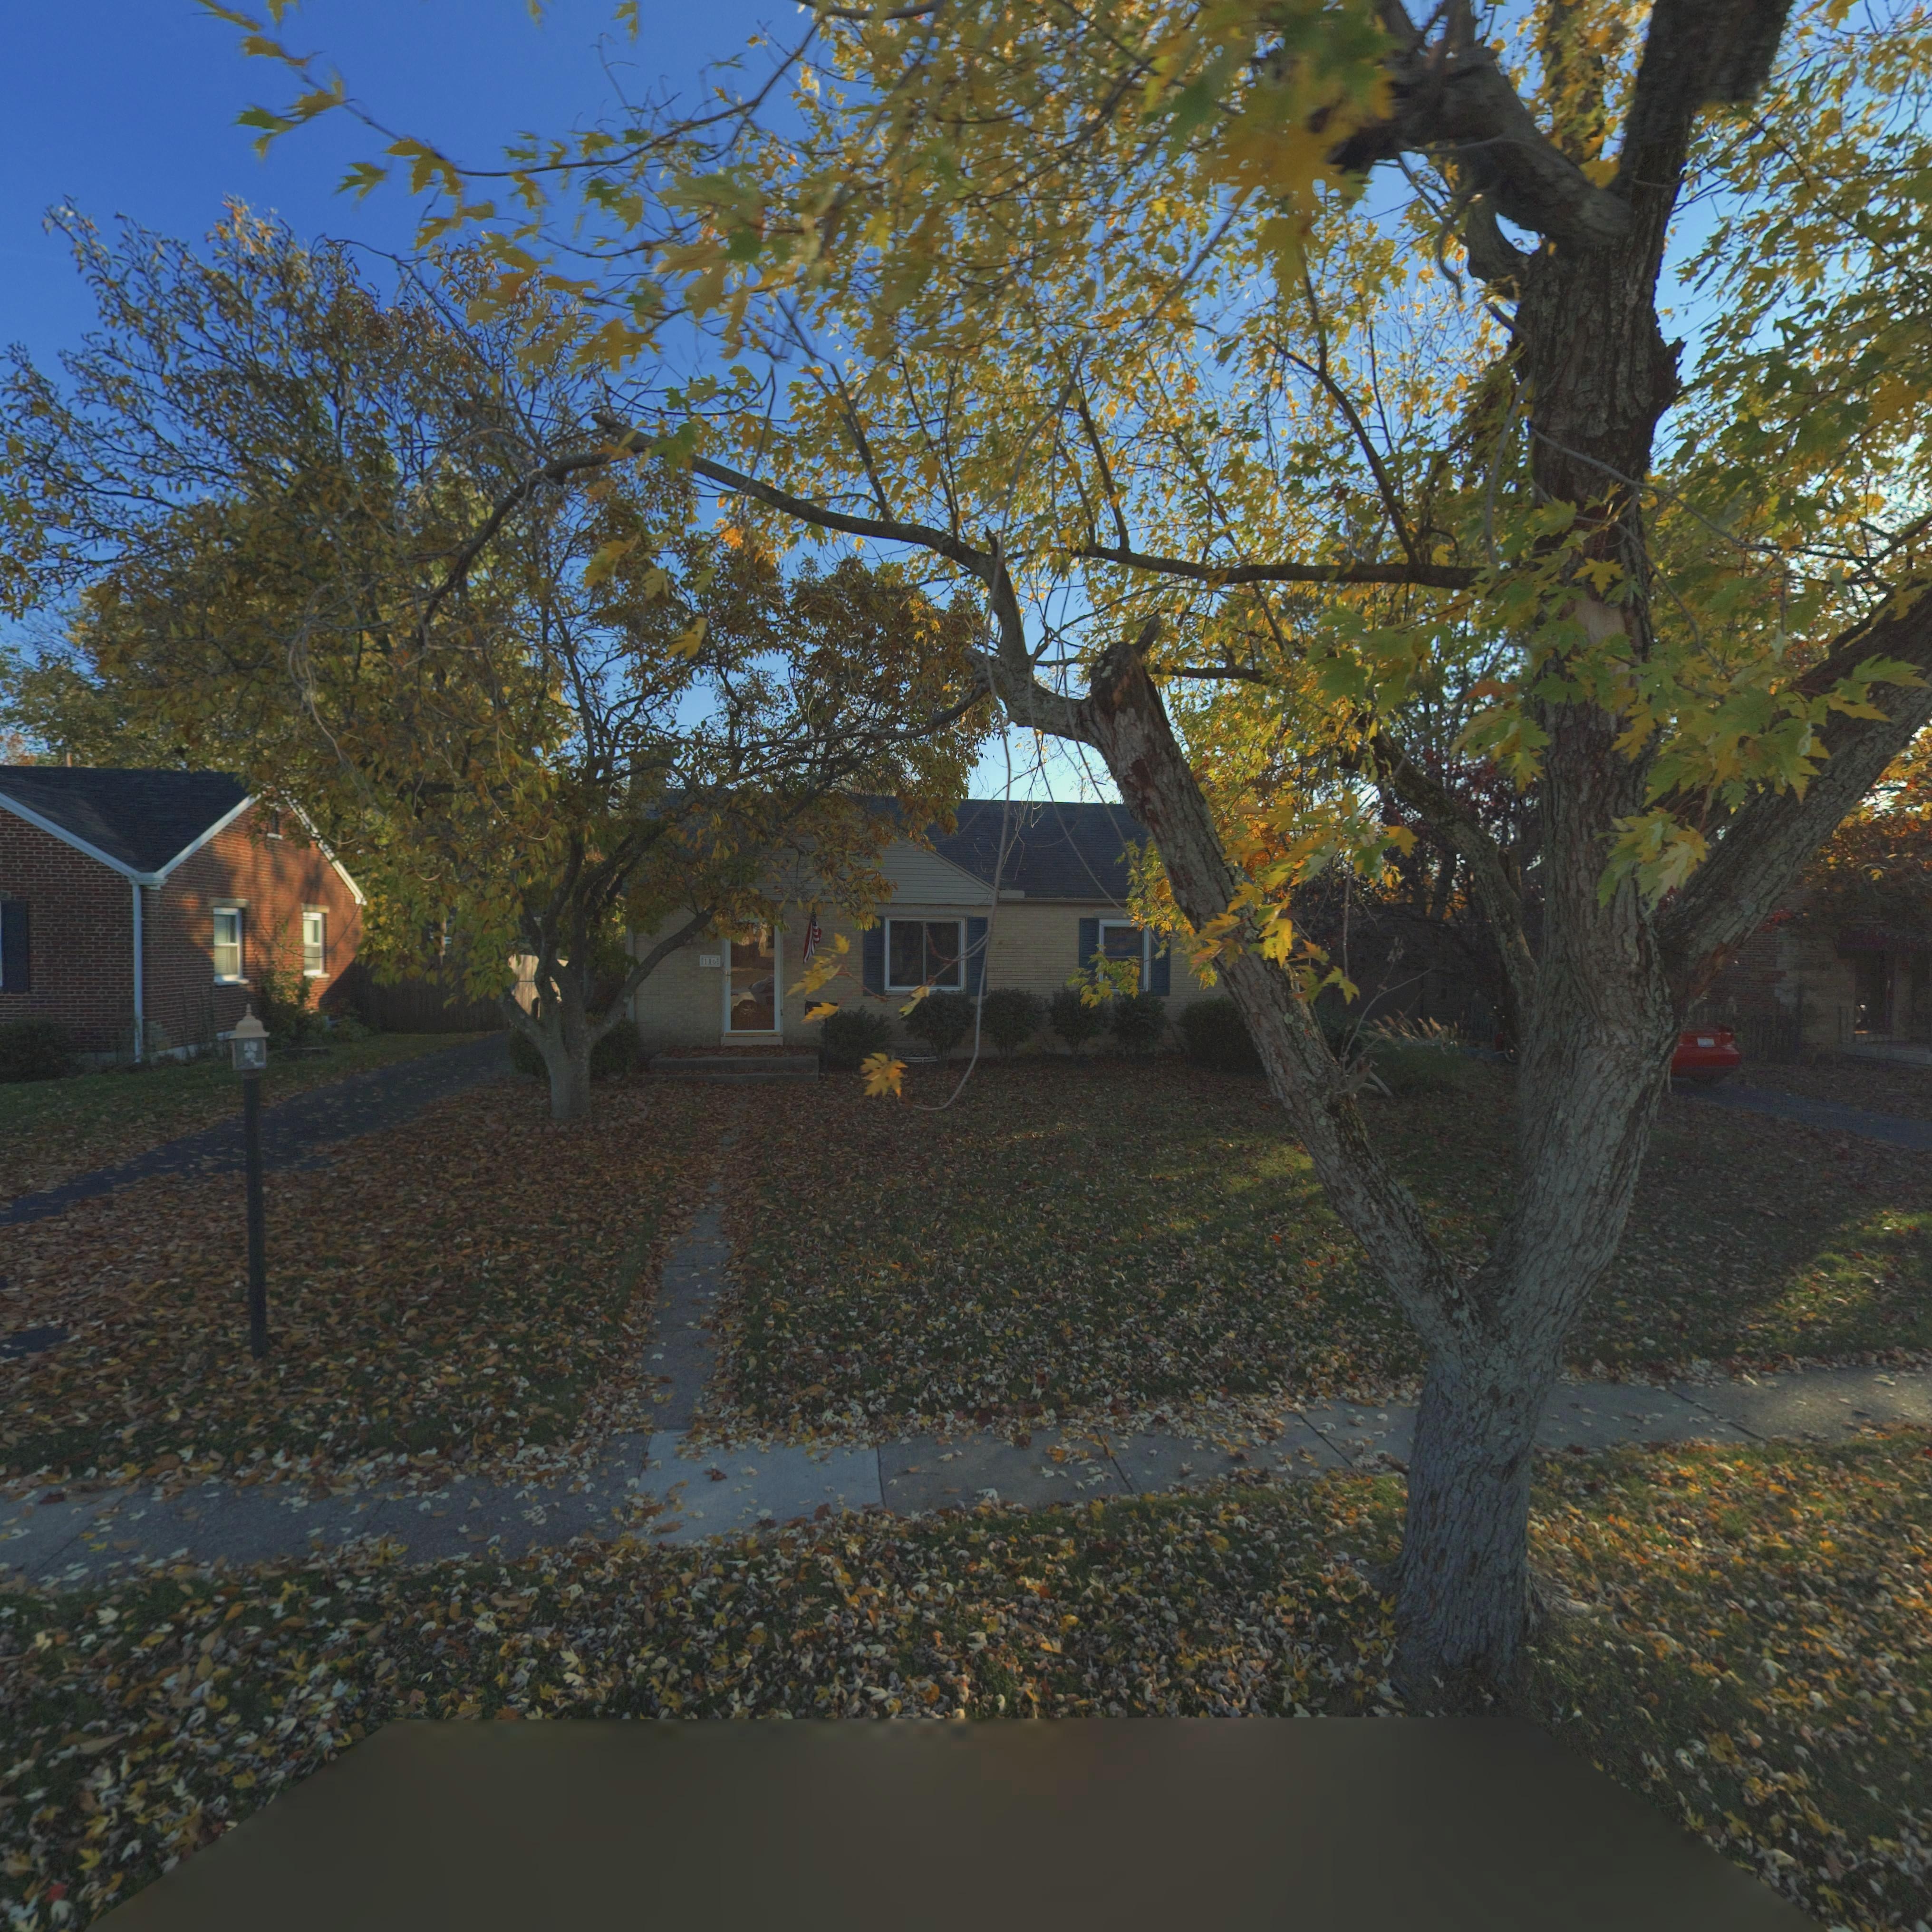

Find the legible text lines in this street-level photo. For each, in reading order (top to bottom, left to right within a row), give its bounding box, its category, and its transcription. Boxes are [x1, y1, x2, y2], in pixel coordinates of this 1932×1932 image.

[704, 958, 716, 965] StreetNumber: 116